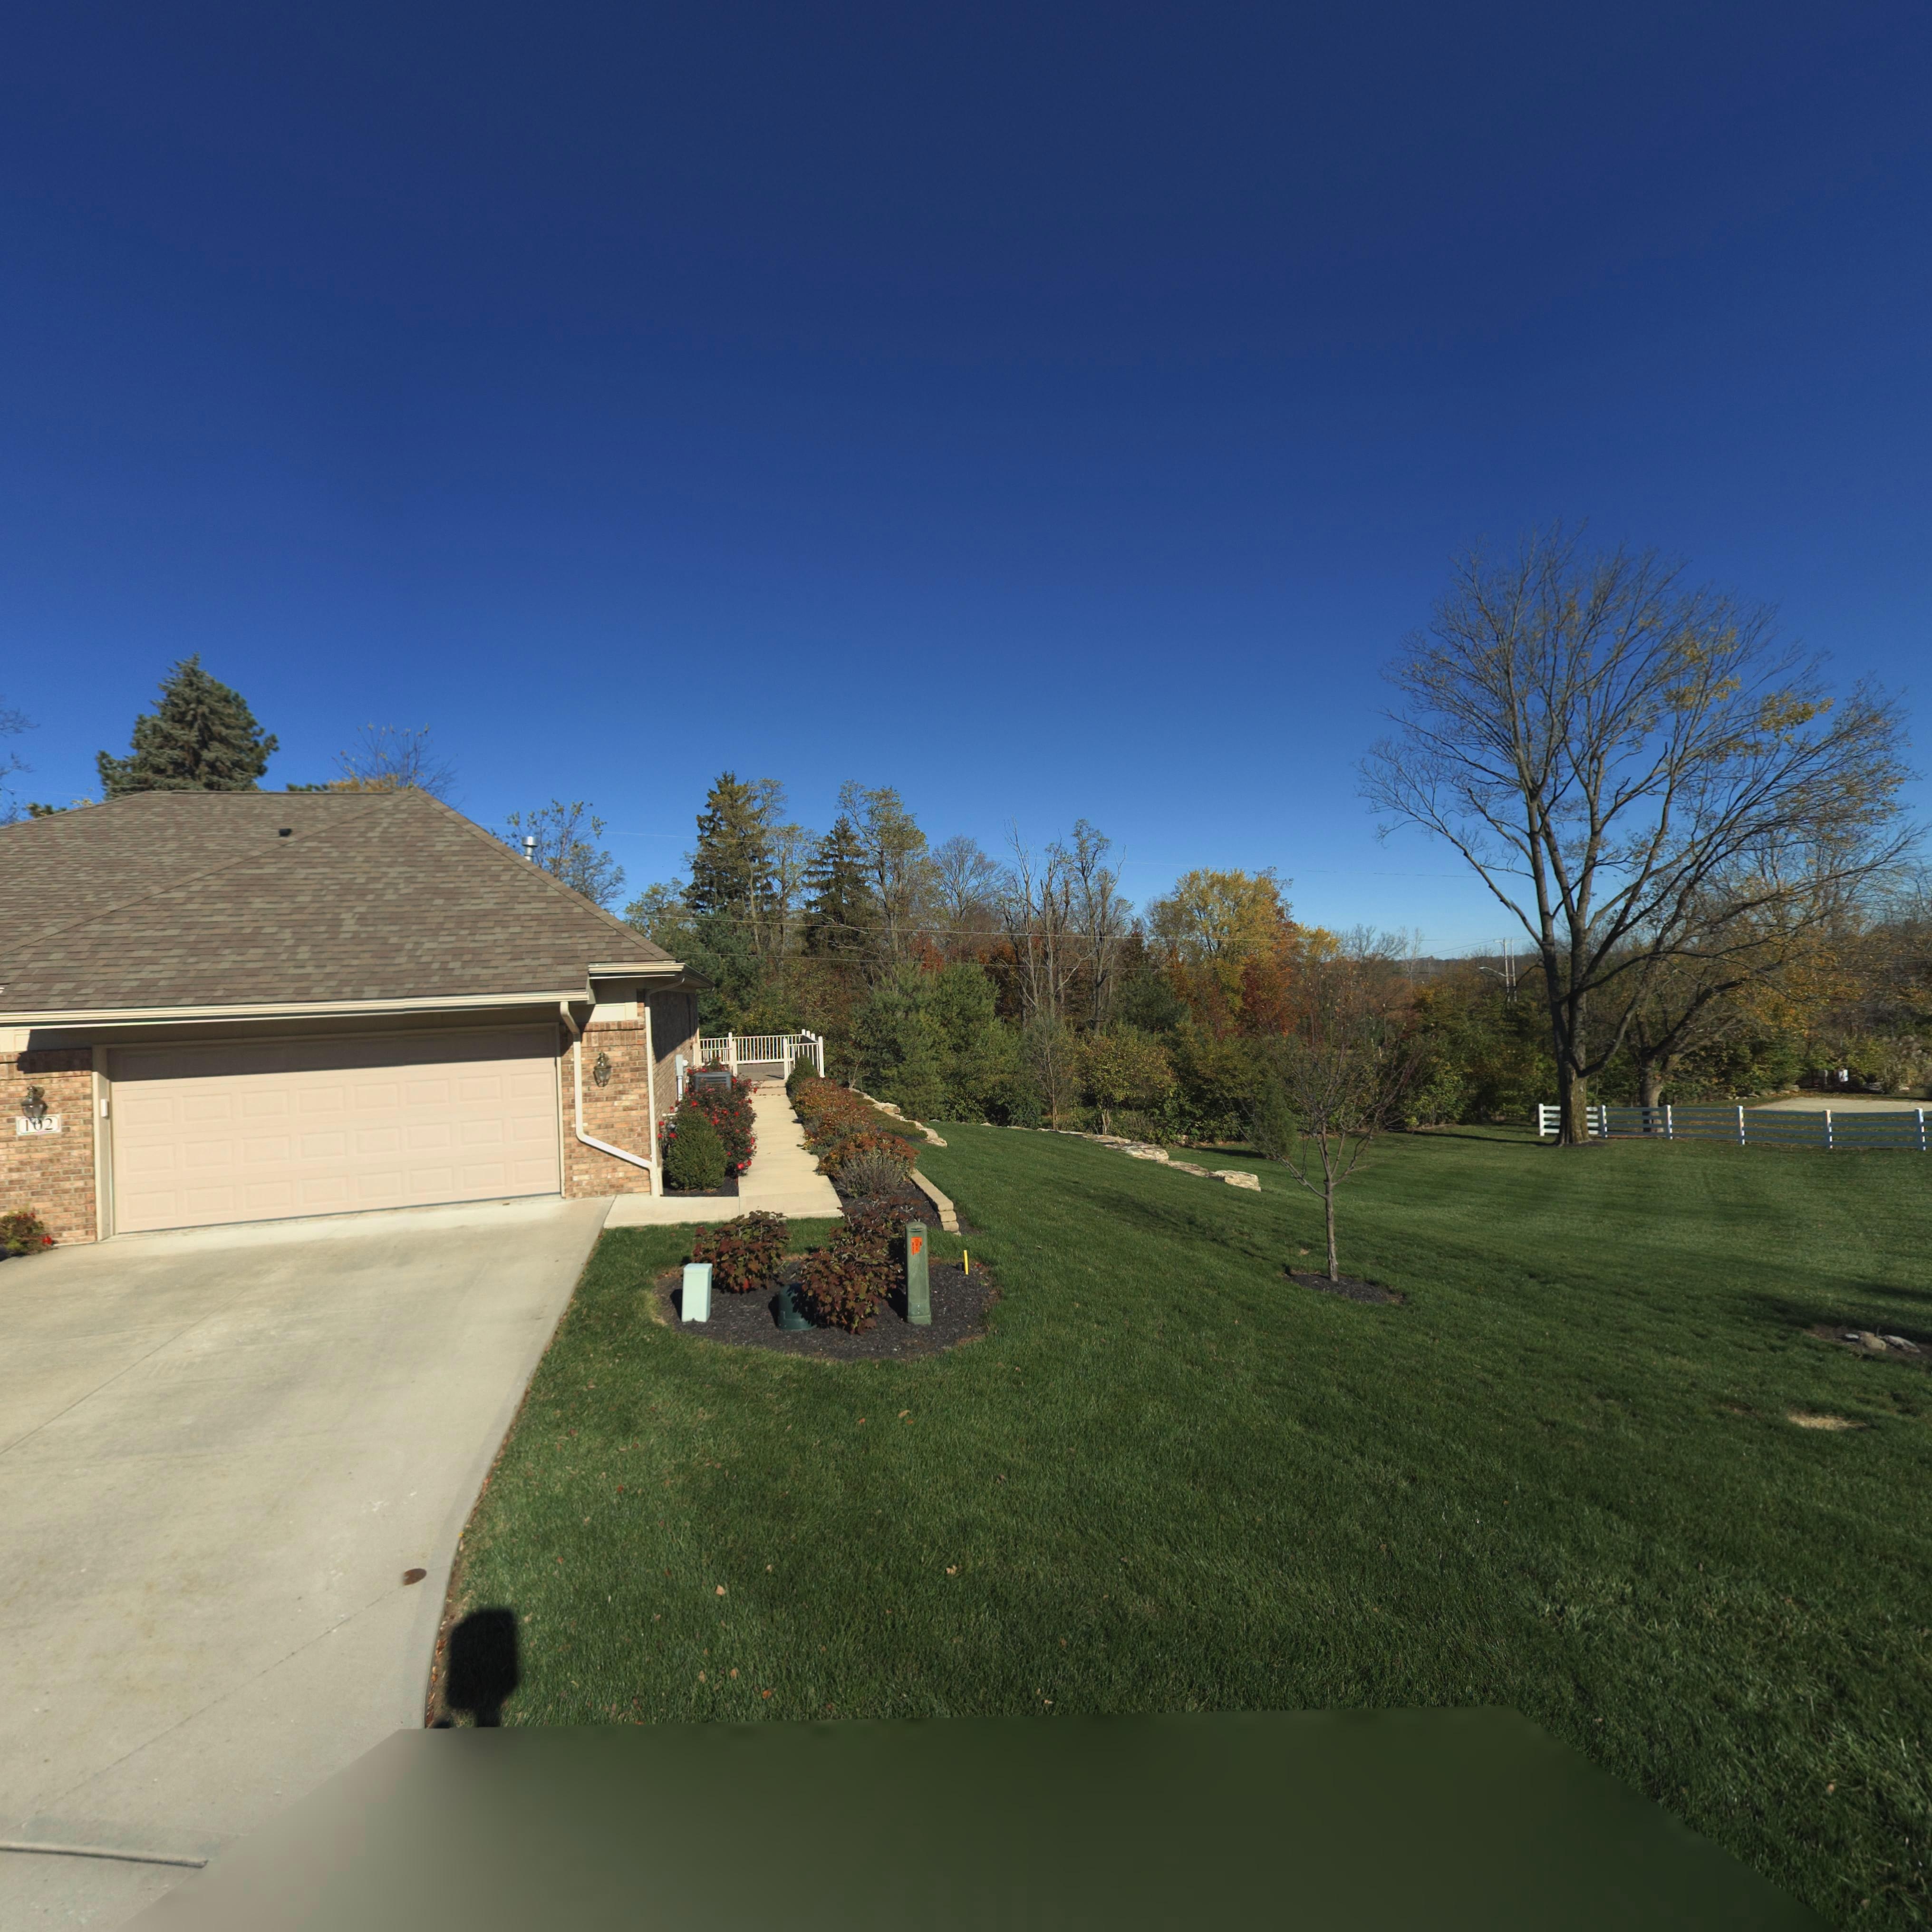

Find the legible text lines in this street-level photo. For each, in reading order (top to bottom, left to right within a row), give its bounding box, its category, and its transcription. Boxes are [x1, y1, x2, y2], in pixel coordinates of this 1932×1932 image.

[24, 1117, 54, 1133] StreetNumber: 1*2